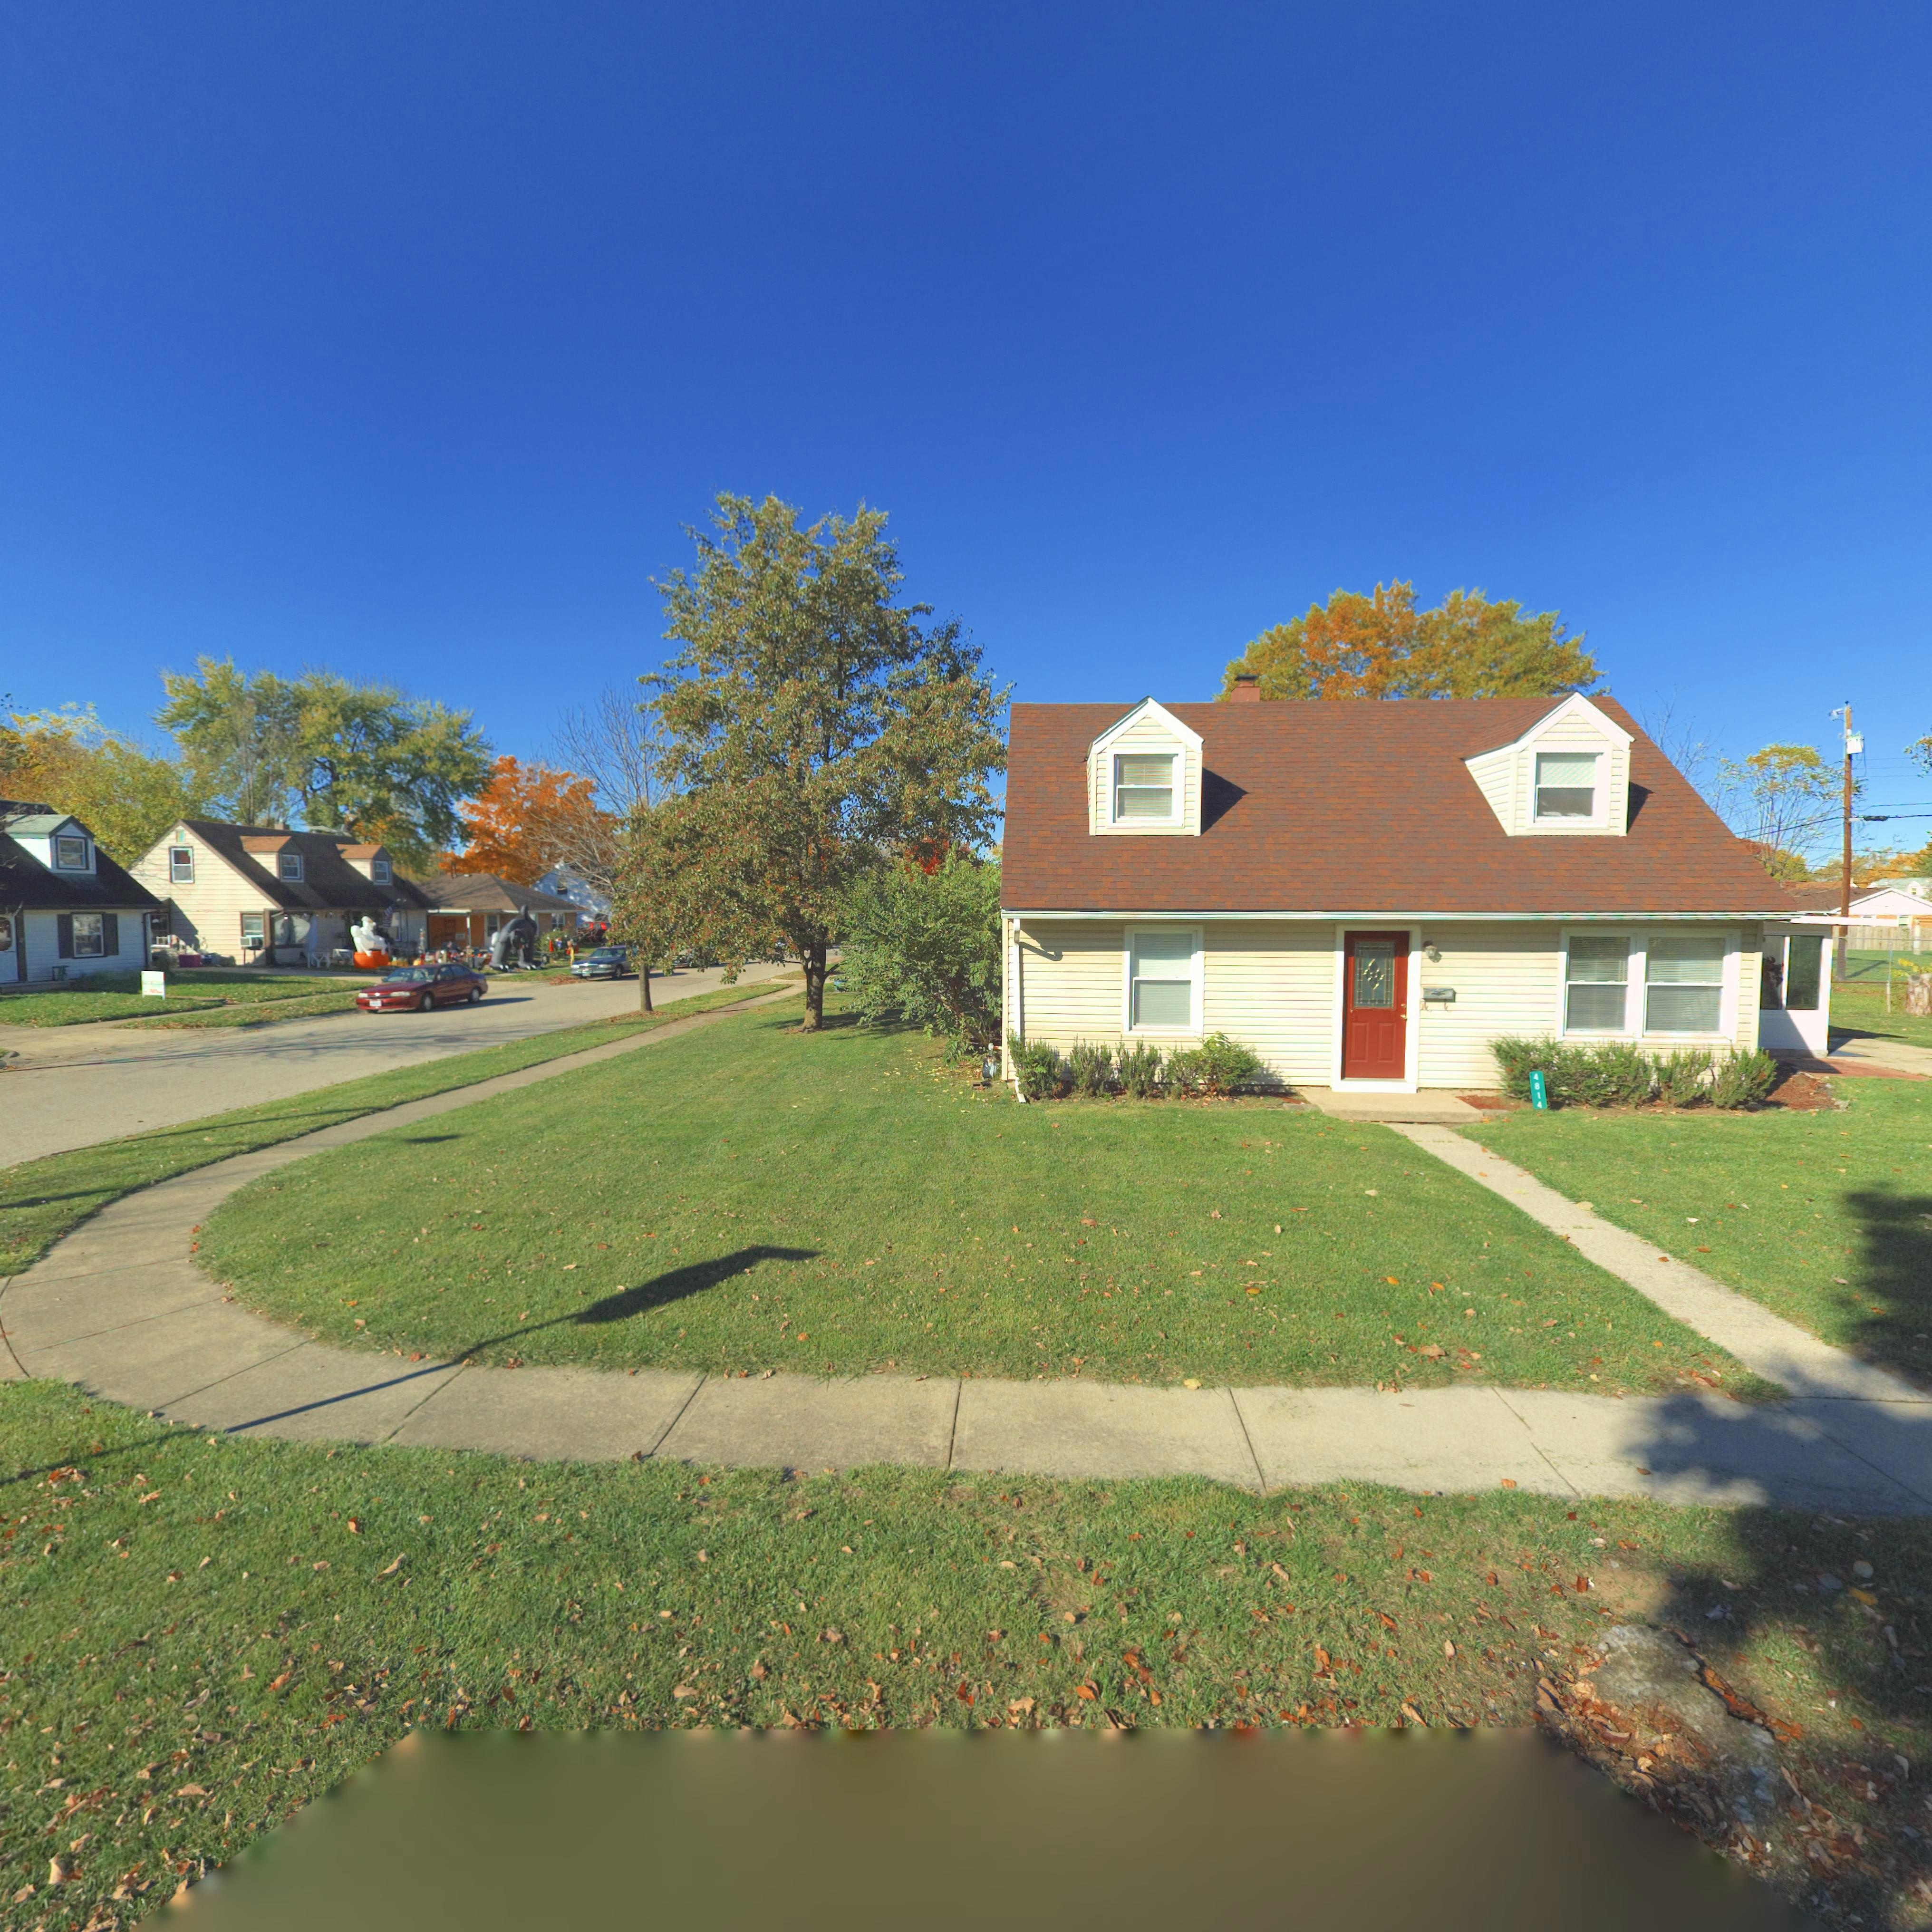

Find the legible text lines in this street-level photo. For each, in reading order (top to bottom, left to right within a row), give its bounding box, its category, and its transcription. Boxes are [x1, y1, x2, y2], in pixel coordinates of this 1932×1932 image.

[1532, 1072, 1543, 1110] StreetNumber: 4814